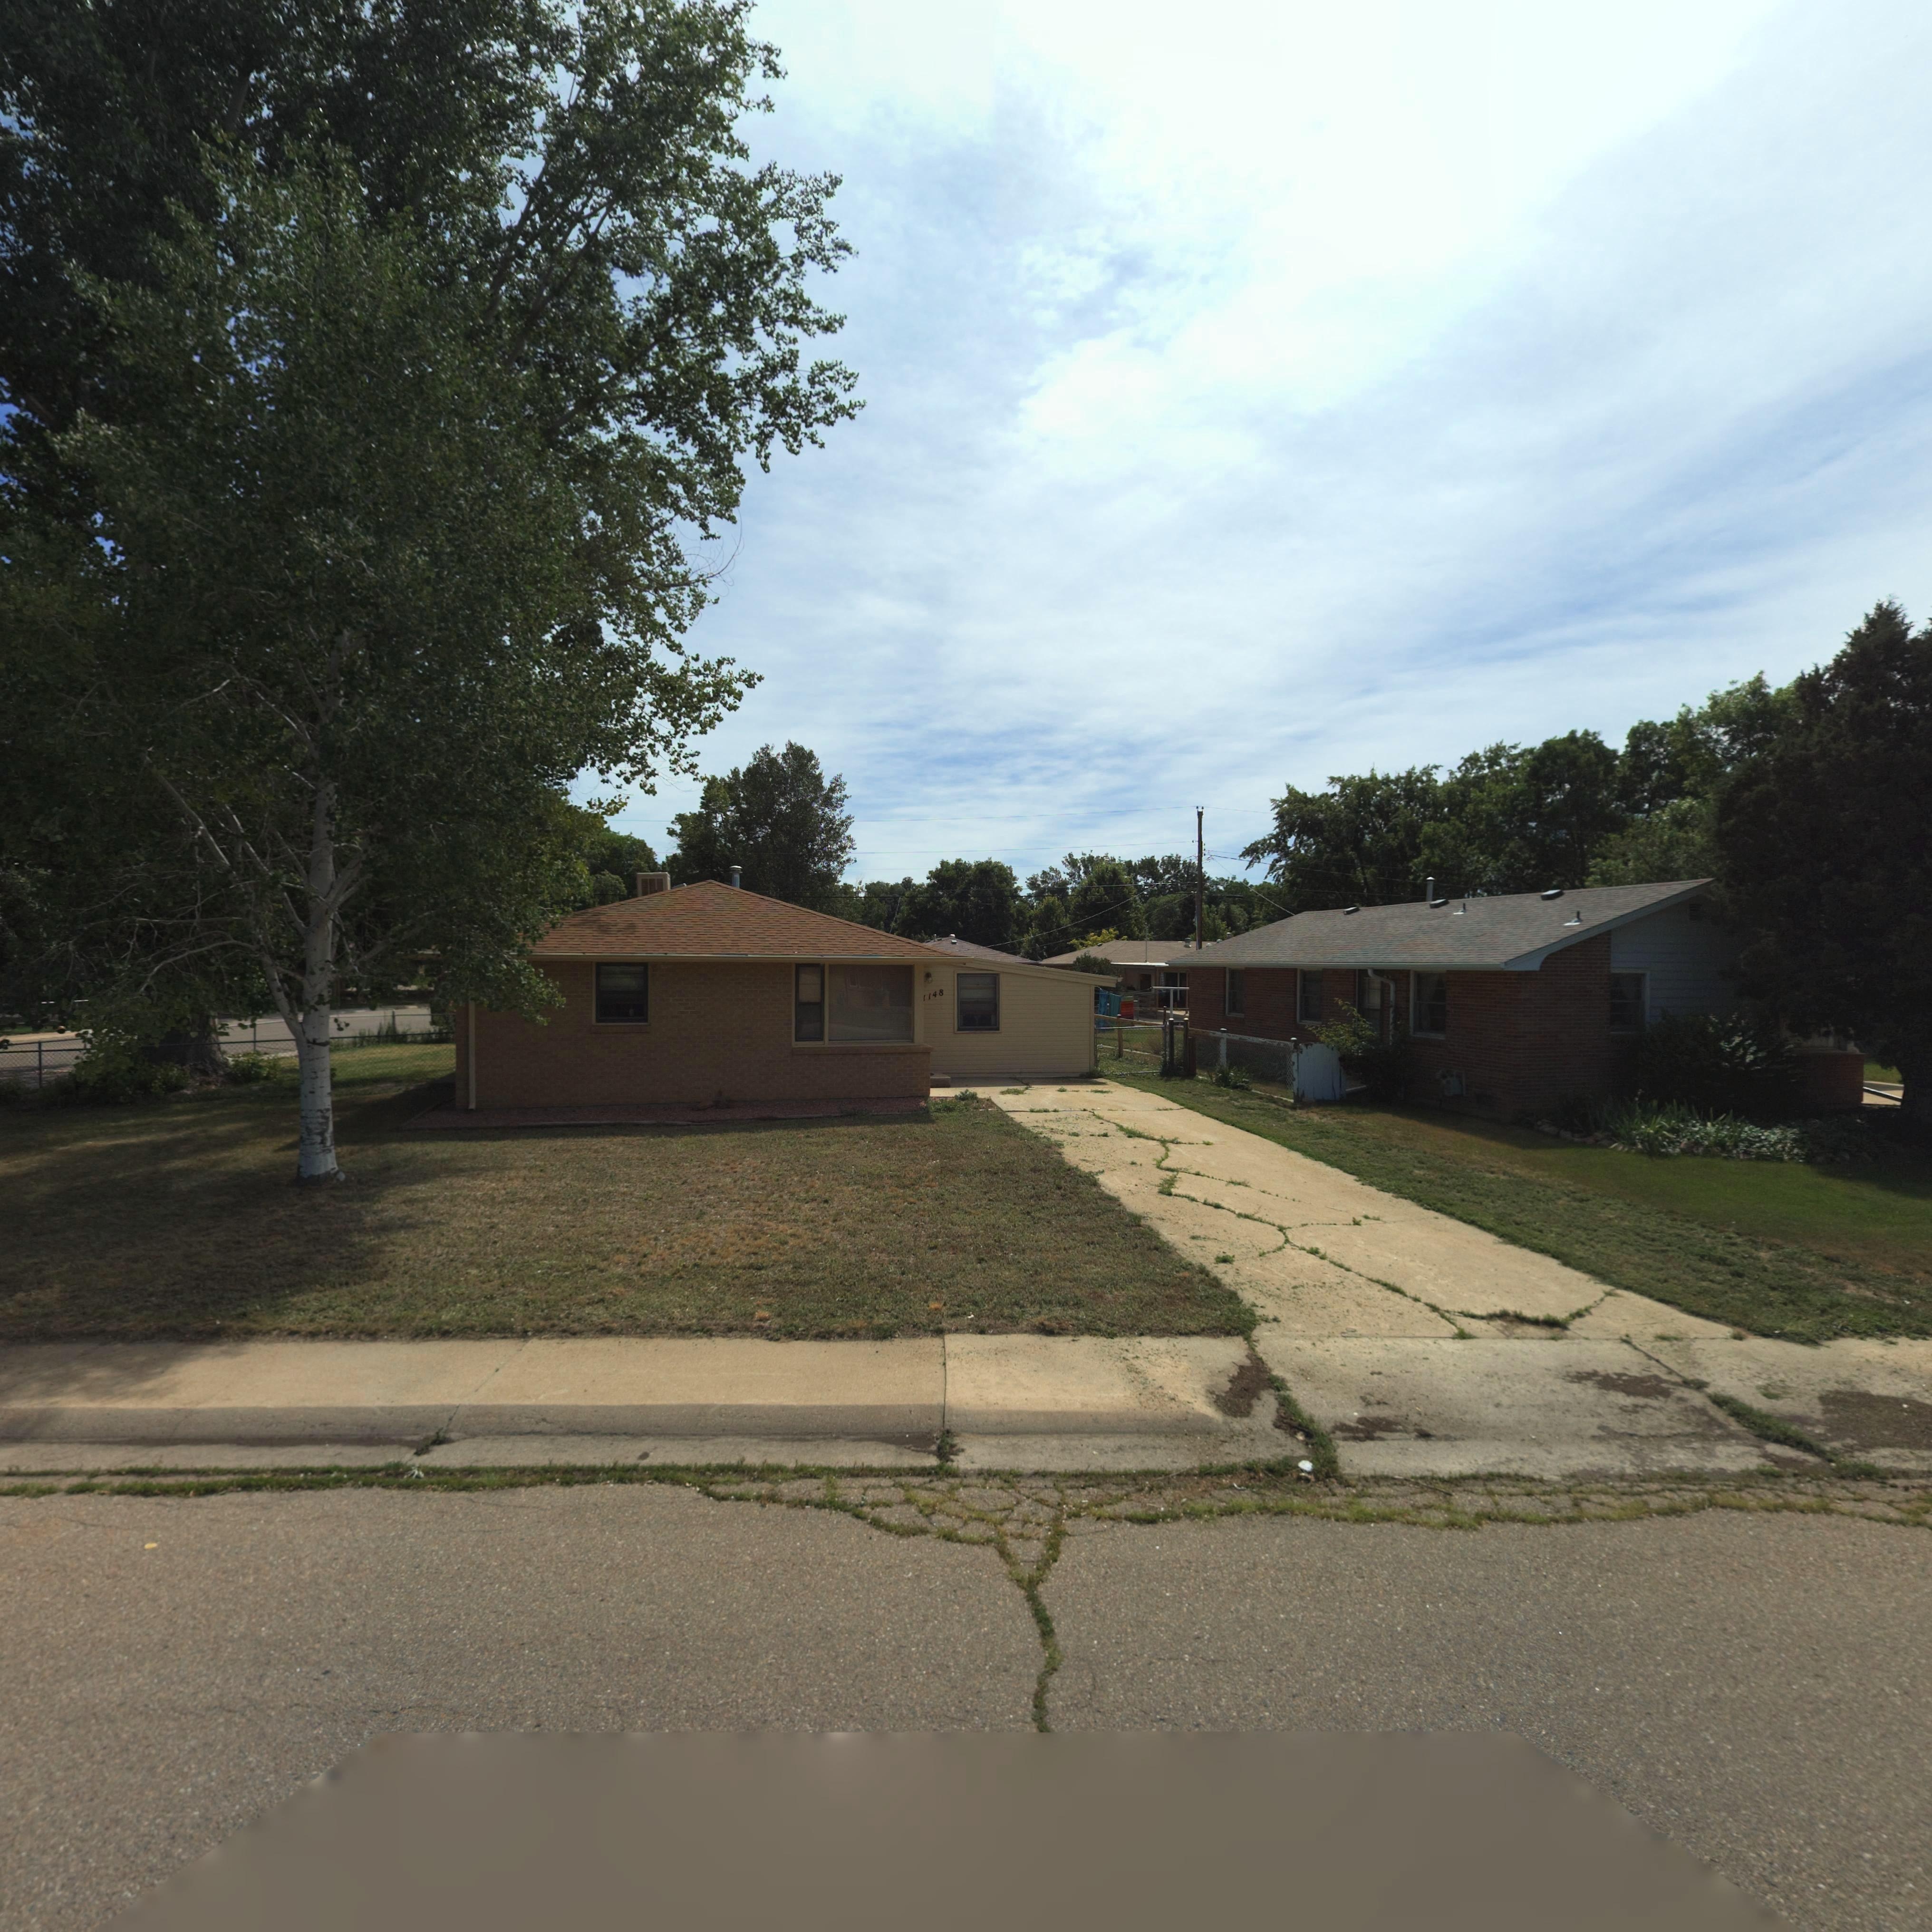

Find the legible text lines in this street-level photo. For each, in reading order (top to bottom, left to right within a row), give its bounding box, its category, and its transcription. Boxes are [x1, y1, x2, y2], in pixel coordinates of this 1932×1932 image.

[923, 988, 944, 1001] StreetNumber: 1148